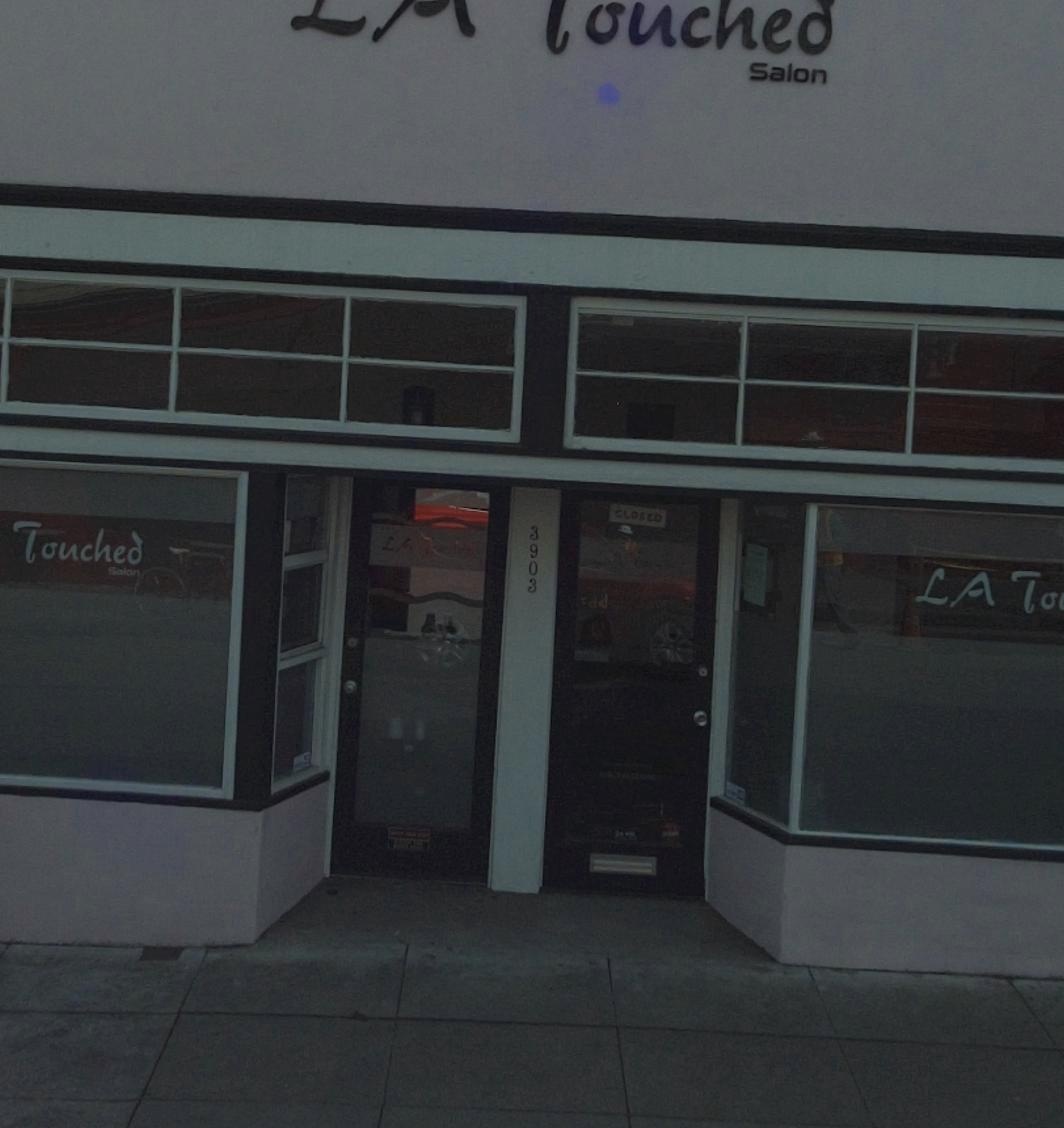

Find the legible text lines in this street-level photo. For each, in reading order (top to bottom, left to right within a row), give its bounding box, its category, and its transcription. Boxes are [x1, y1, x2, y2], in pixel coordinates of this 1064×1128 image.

[613, 507, 662, 525] None: CLOSED
[9, 517, 145, 566] BusinessName: Touched
[526, 523, 539, 594] StreetNumber: 3903
[911, 565, 997, 609] BusinessName: LA